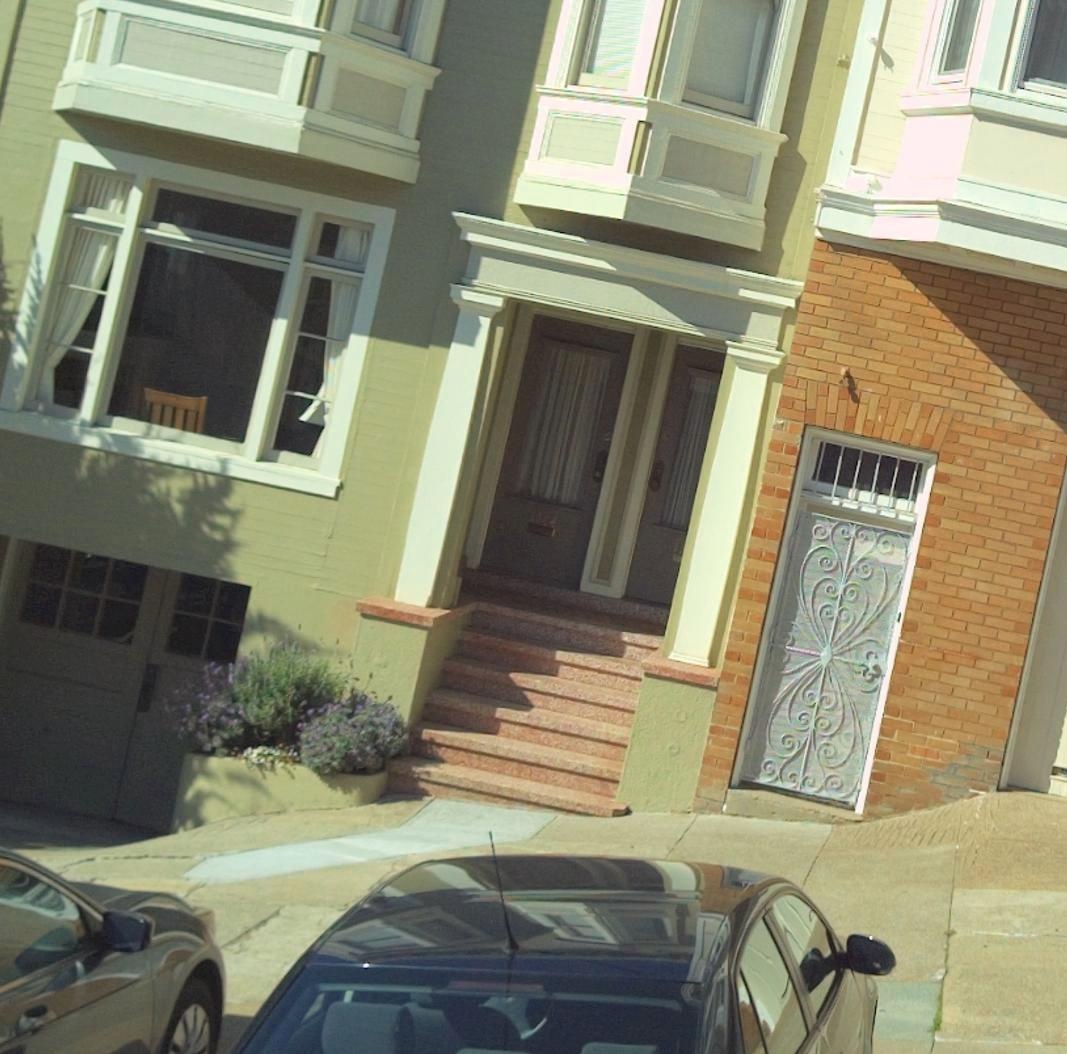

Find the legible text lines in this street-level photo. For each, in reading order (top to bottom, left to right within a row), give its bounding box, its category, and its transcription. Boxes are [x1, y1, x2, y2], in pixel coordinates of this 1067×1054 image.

[528, 508, 558, 528] StreetNumber: ***4